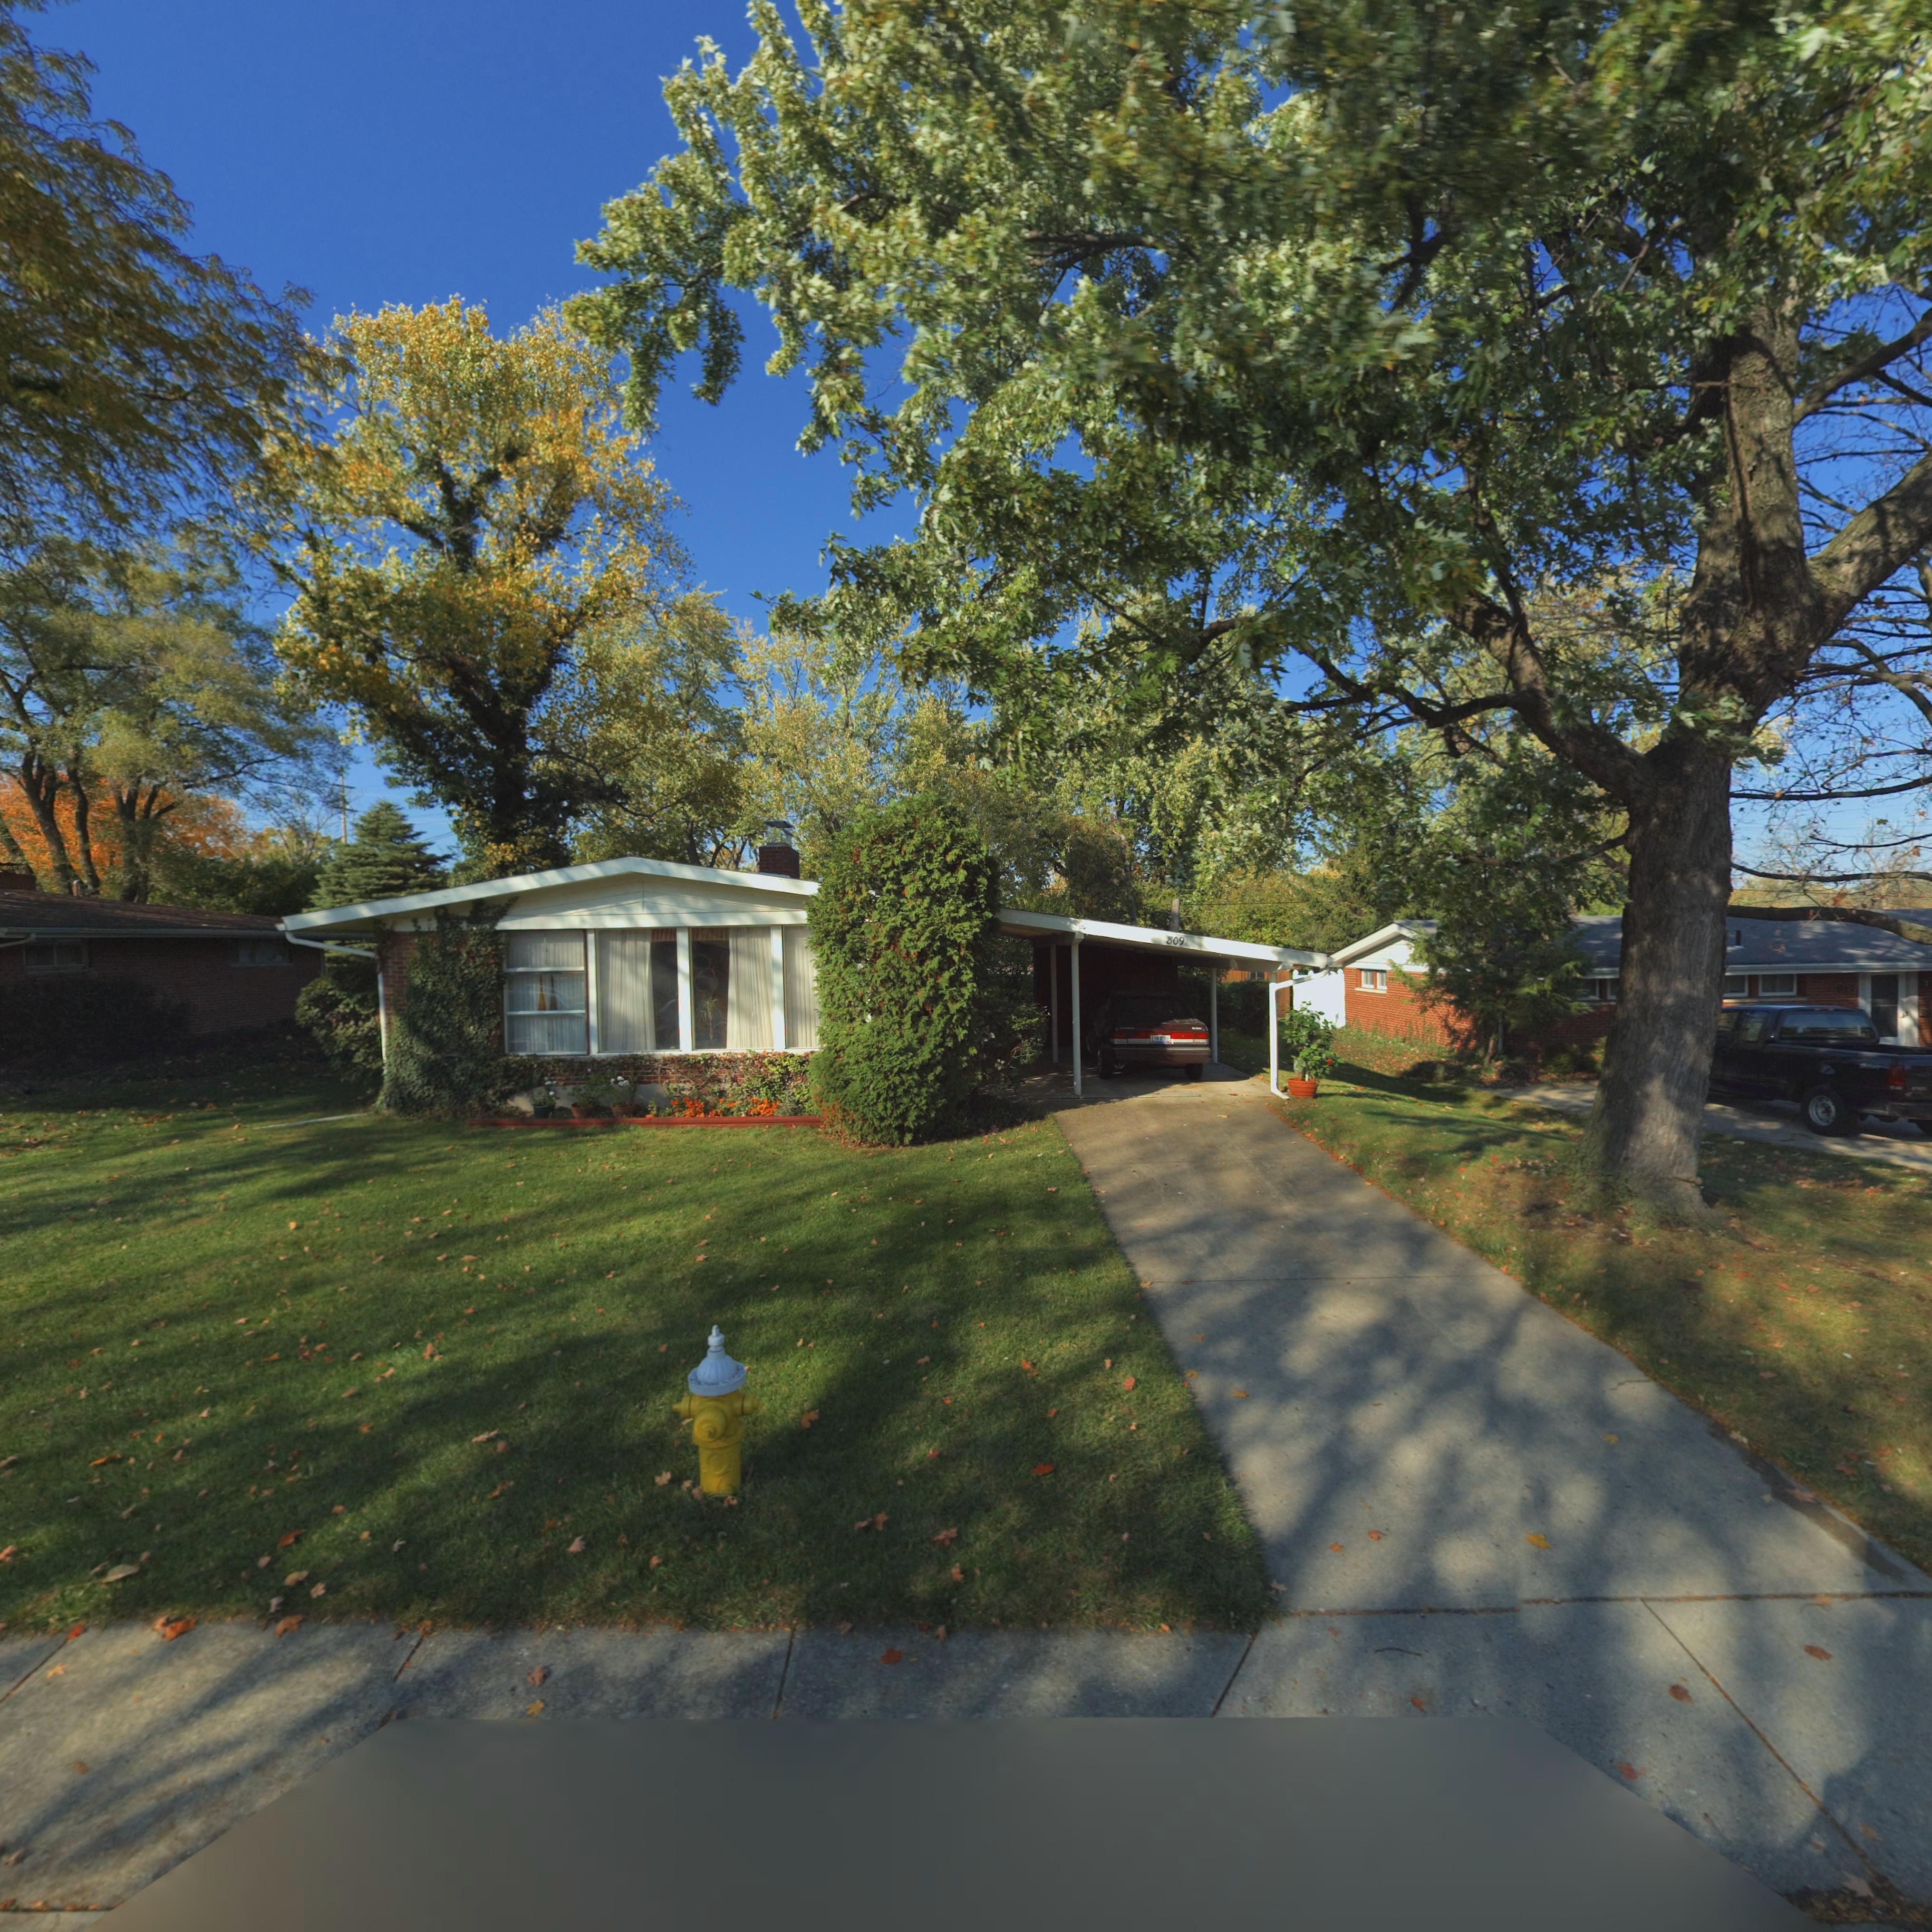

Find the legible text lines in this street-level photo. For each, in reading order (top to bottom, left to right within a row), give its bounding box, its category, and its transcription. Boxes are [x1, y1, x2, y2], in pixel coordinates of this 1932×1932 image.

[1165, 935, 1186, 947] StreetNumber: 809